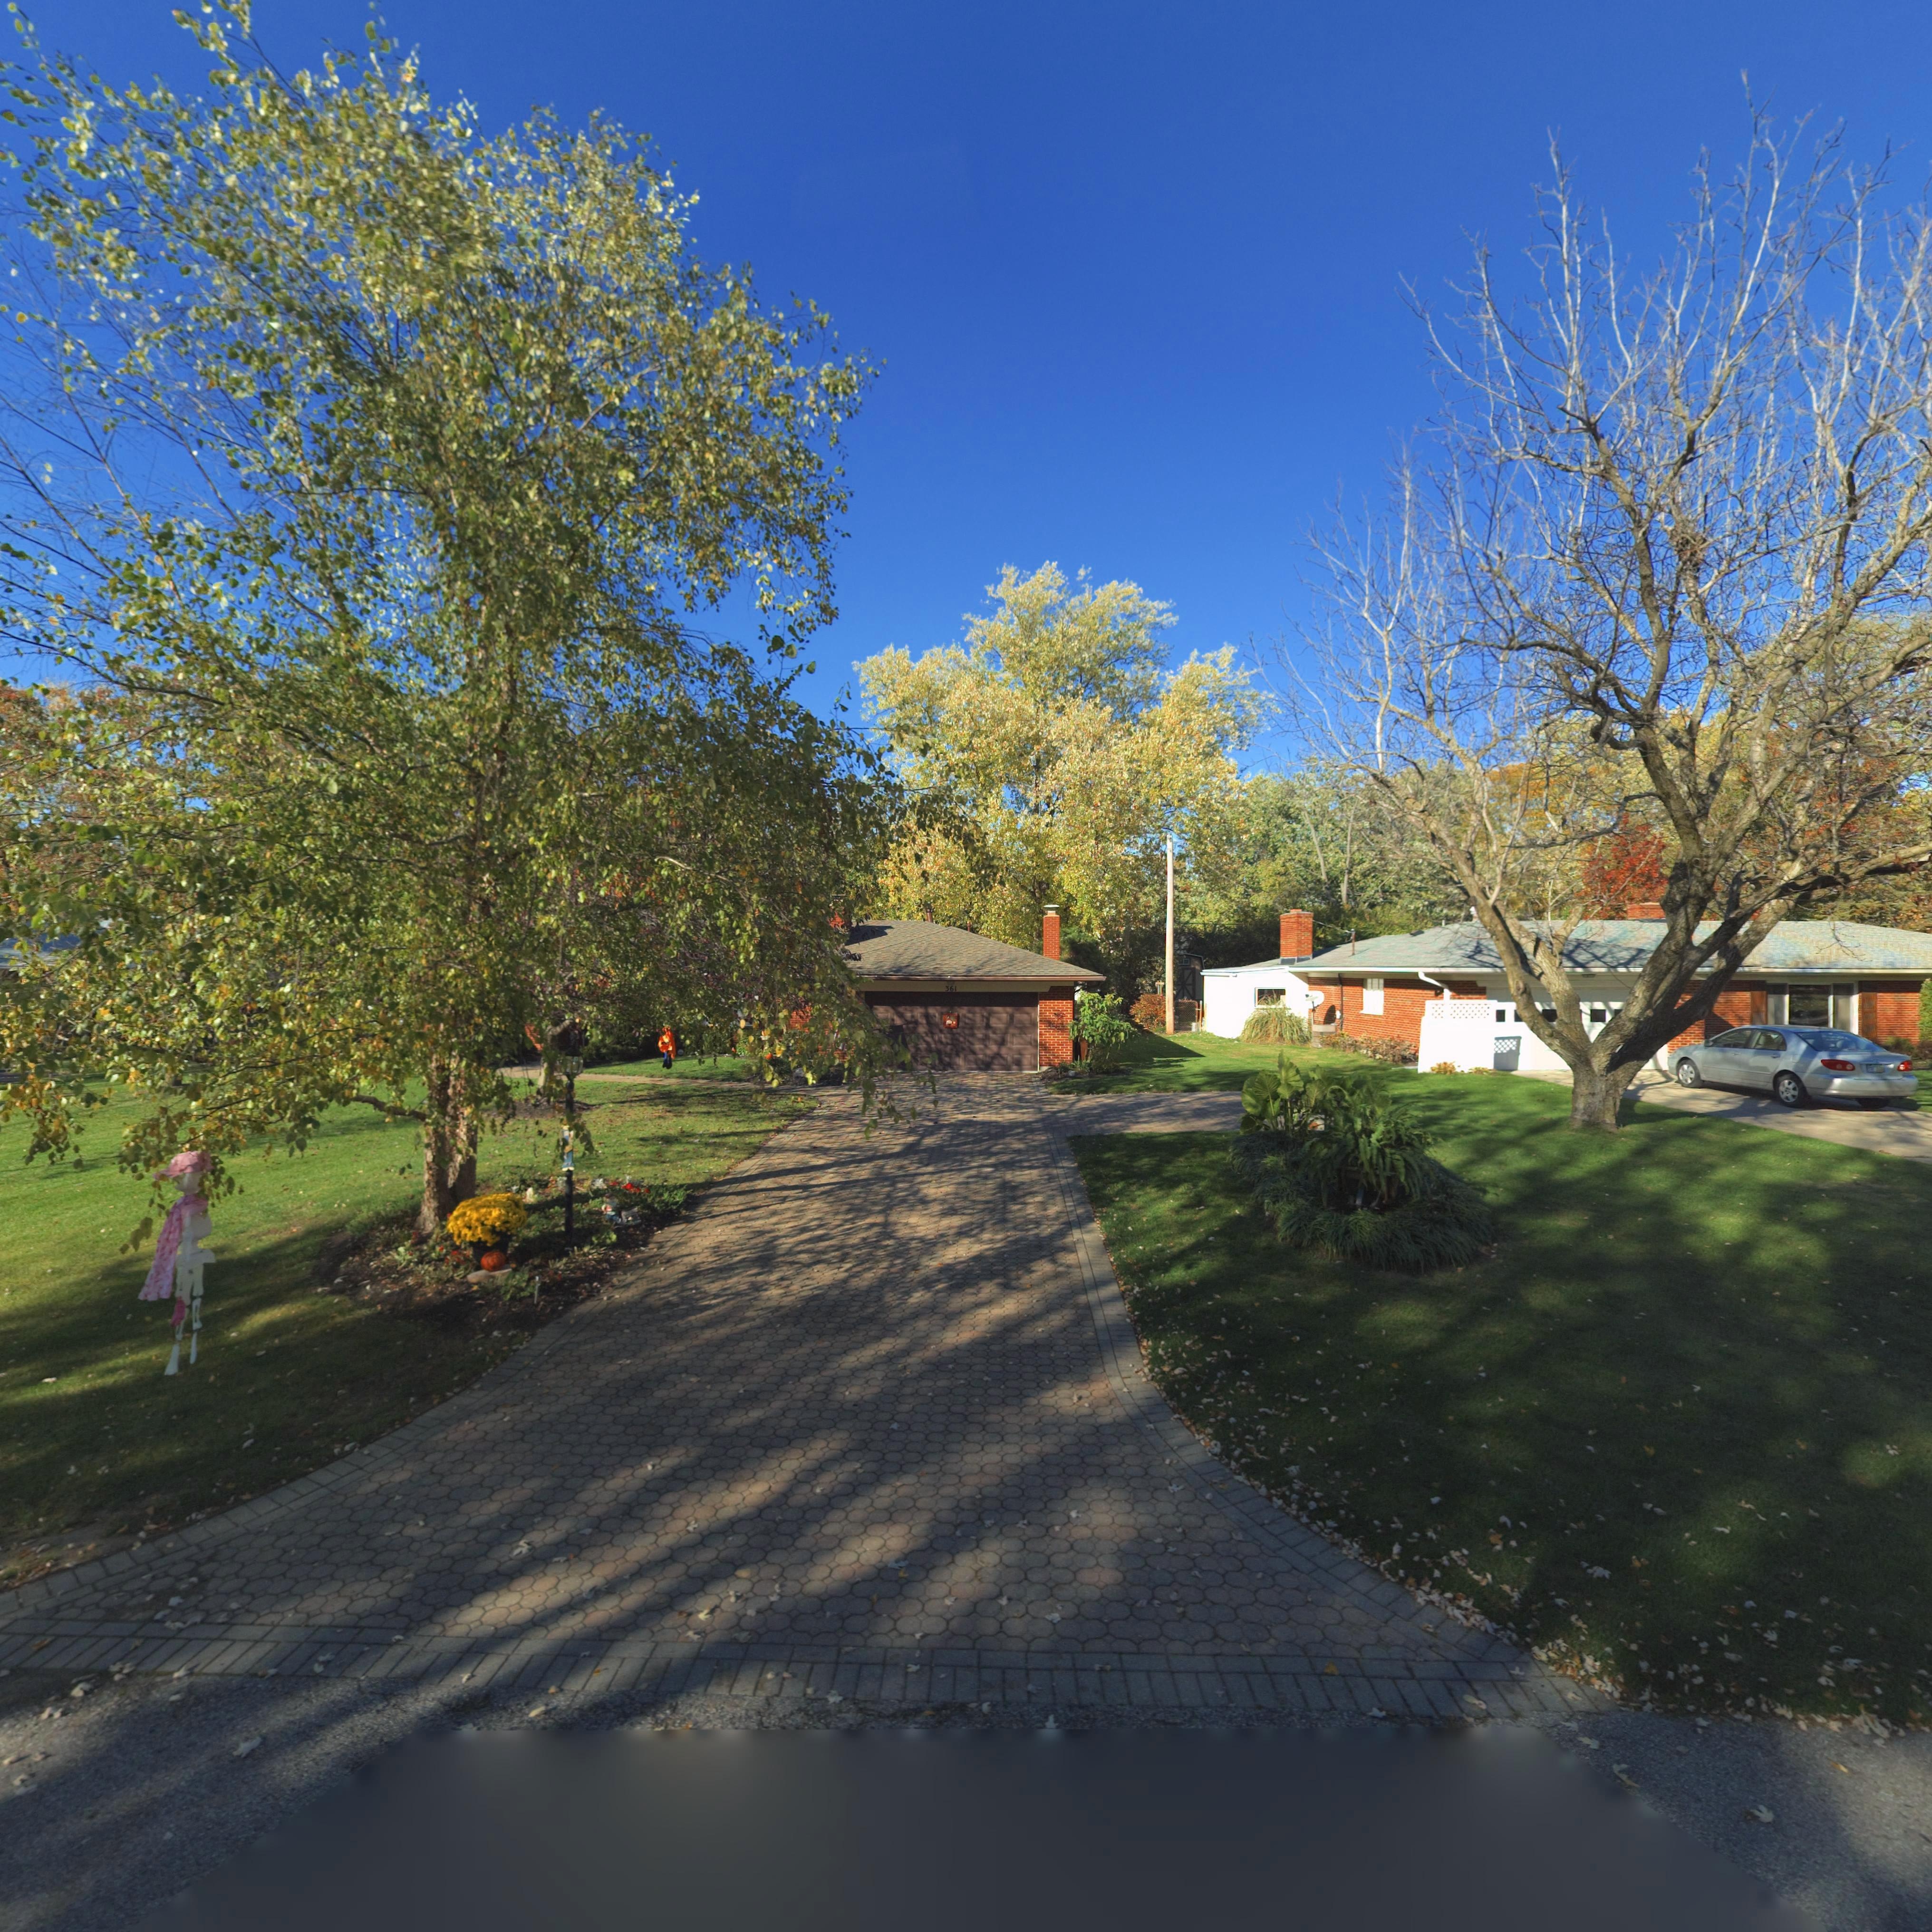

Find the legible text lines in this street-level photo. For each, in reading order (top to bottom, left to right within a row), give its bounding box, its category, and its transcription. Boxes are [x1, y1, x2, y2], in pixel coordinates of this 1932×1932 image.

[945, 985, 957, 992] StreetNumber: 361